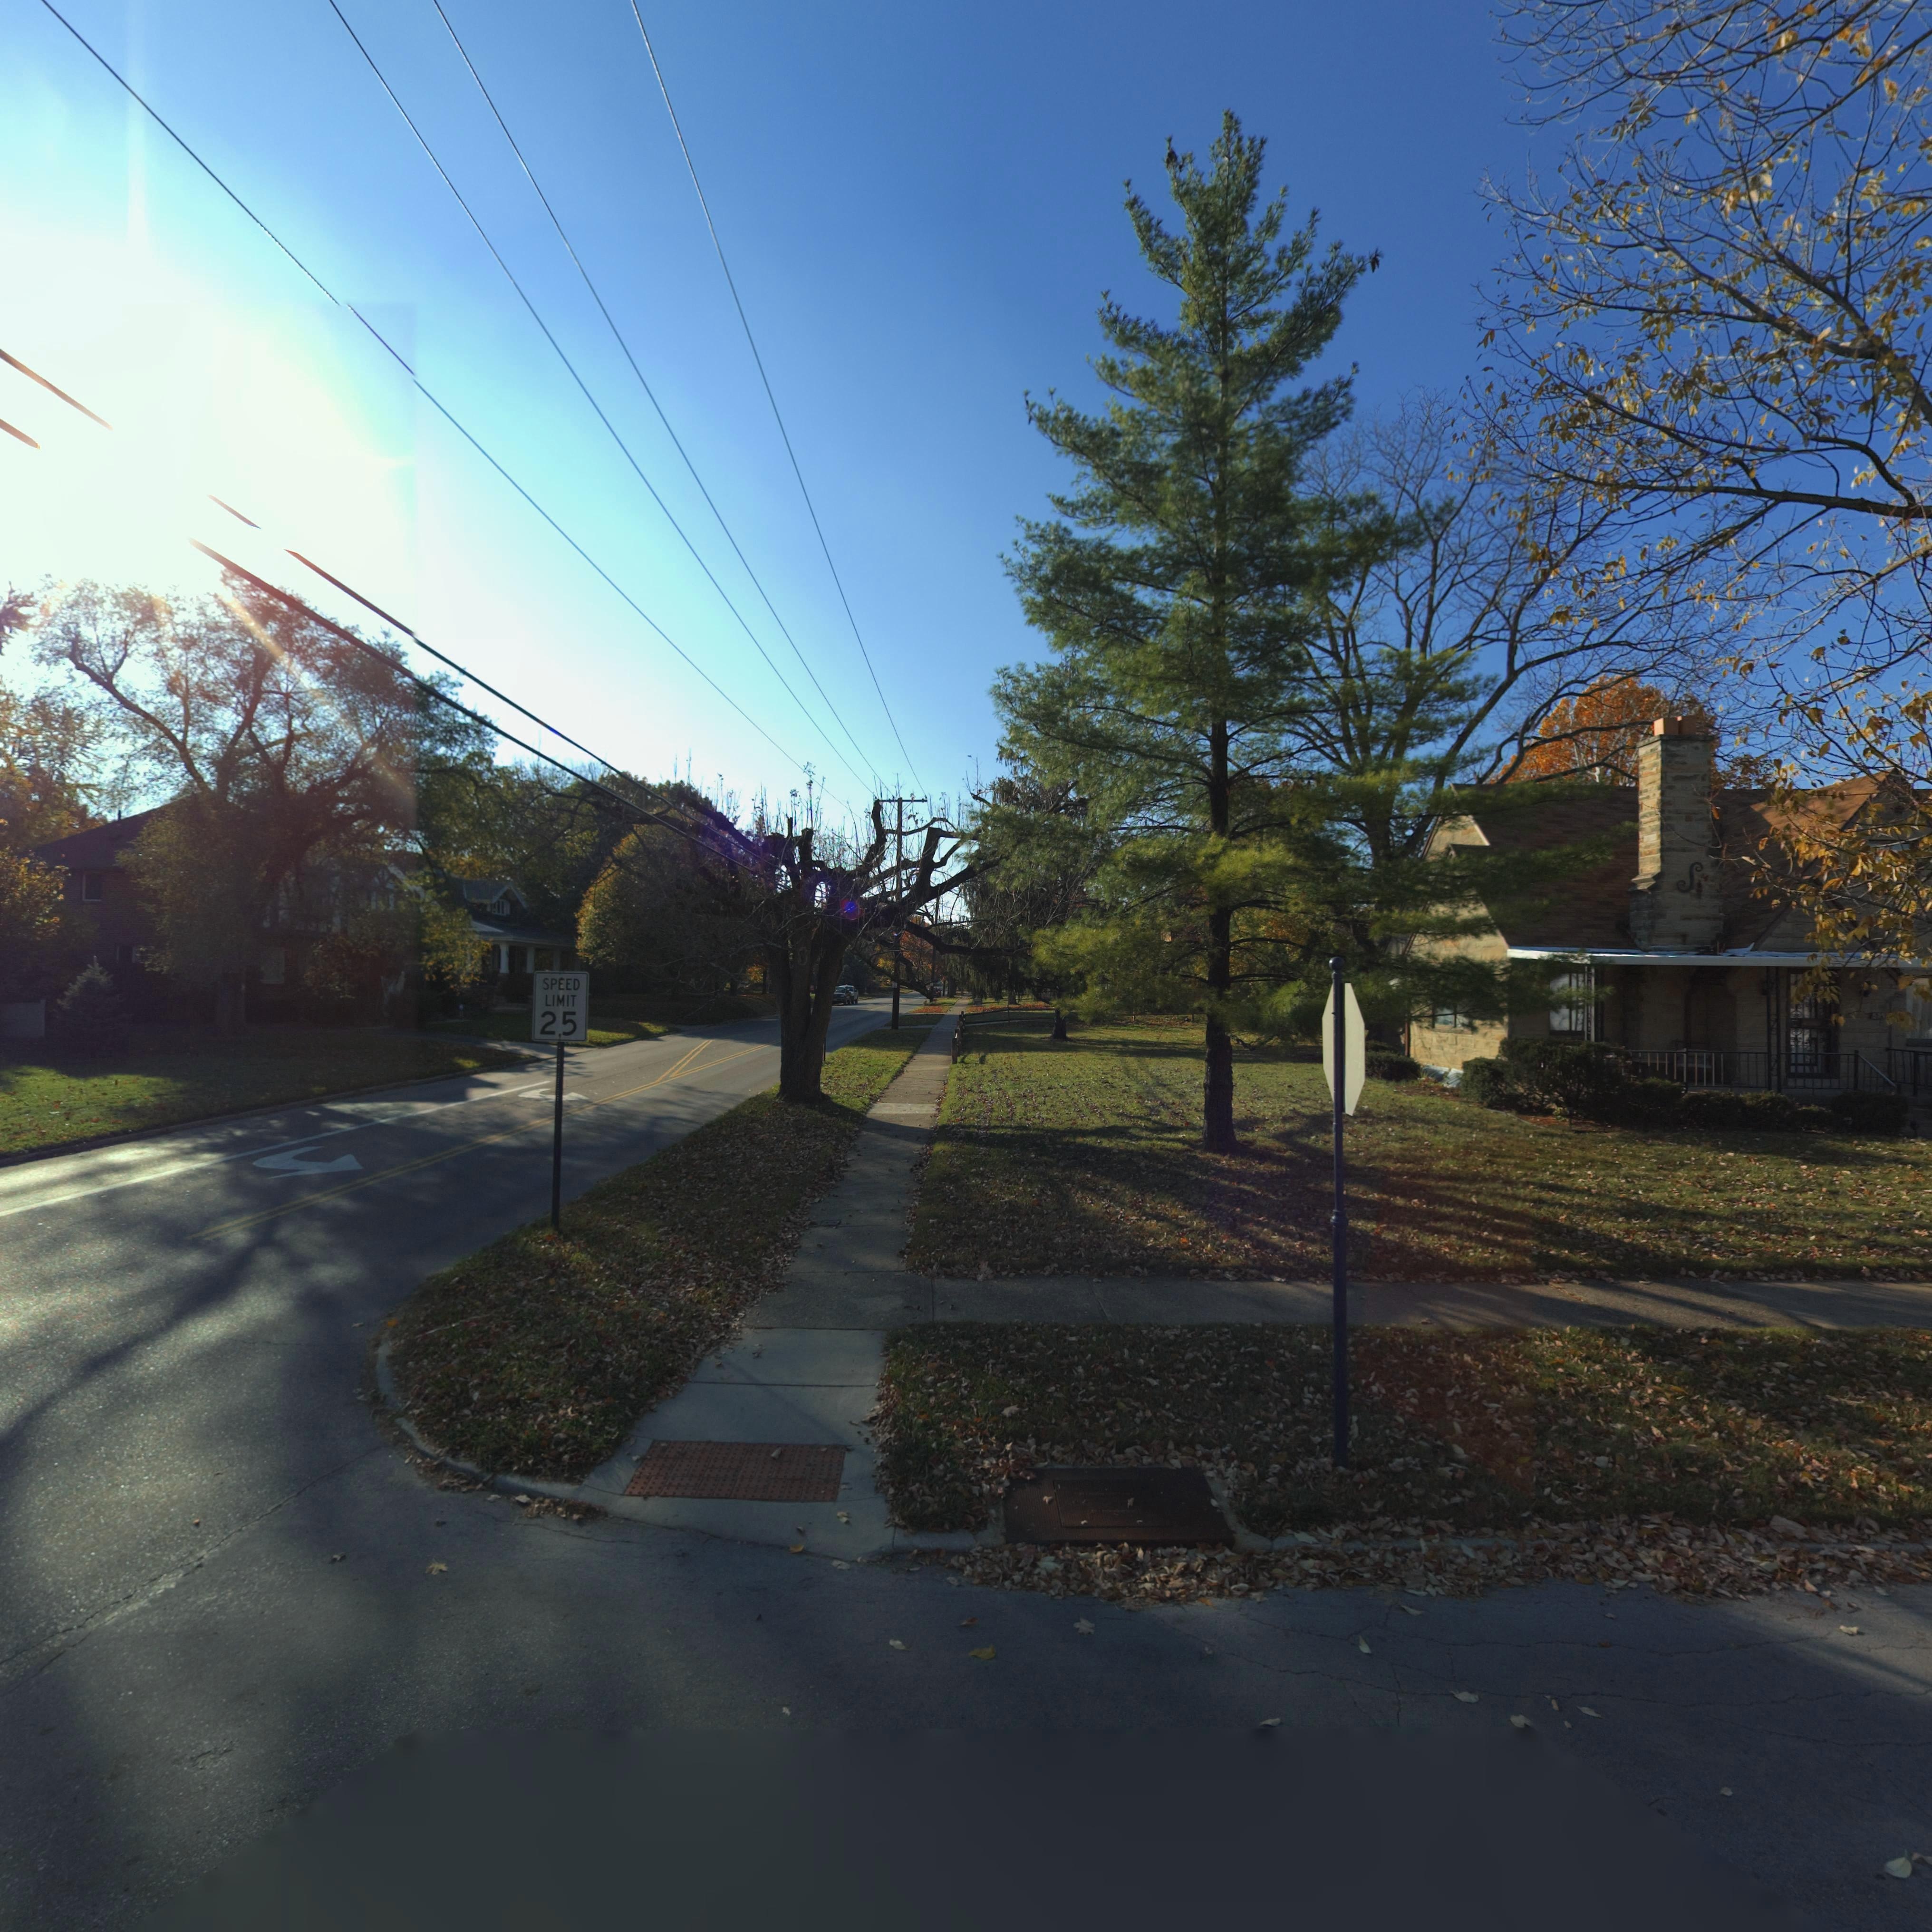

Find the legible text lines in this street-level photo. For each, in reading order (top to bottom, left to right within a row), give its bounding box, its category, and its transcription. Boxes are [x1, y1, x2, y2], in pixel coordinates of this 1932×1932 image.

[1872, 1012, 1886, 1020] StreetNumber: 629